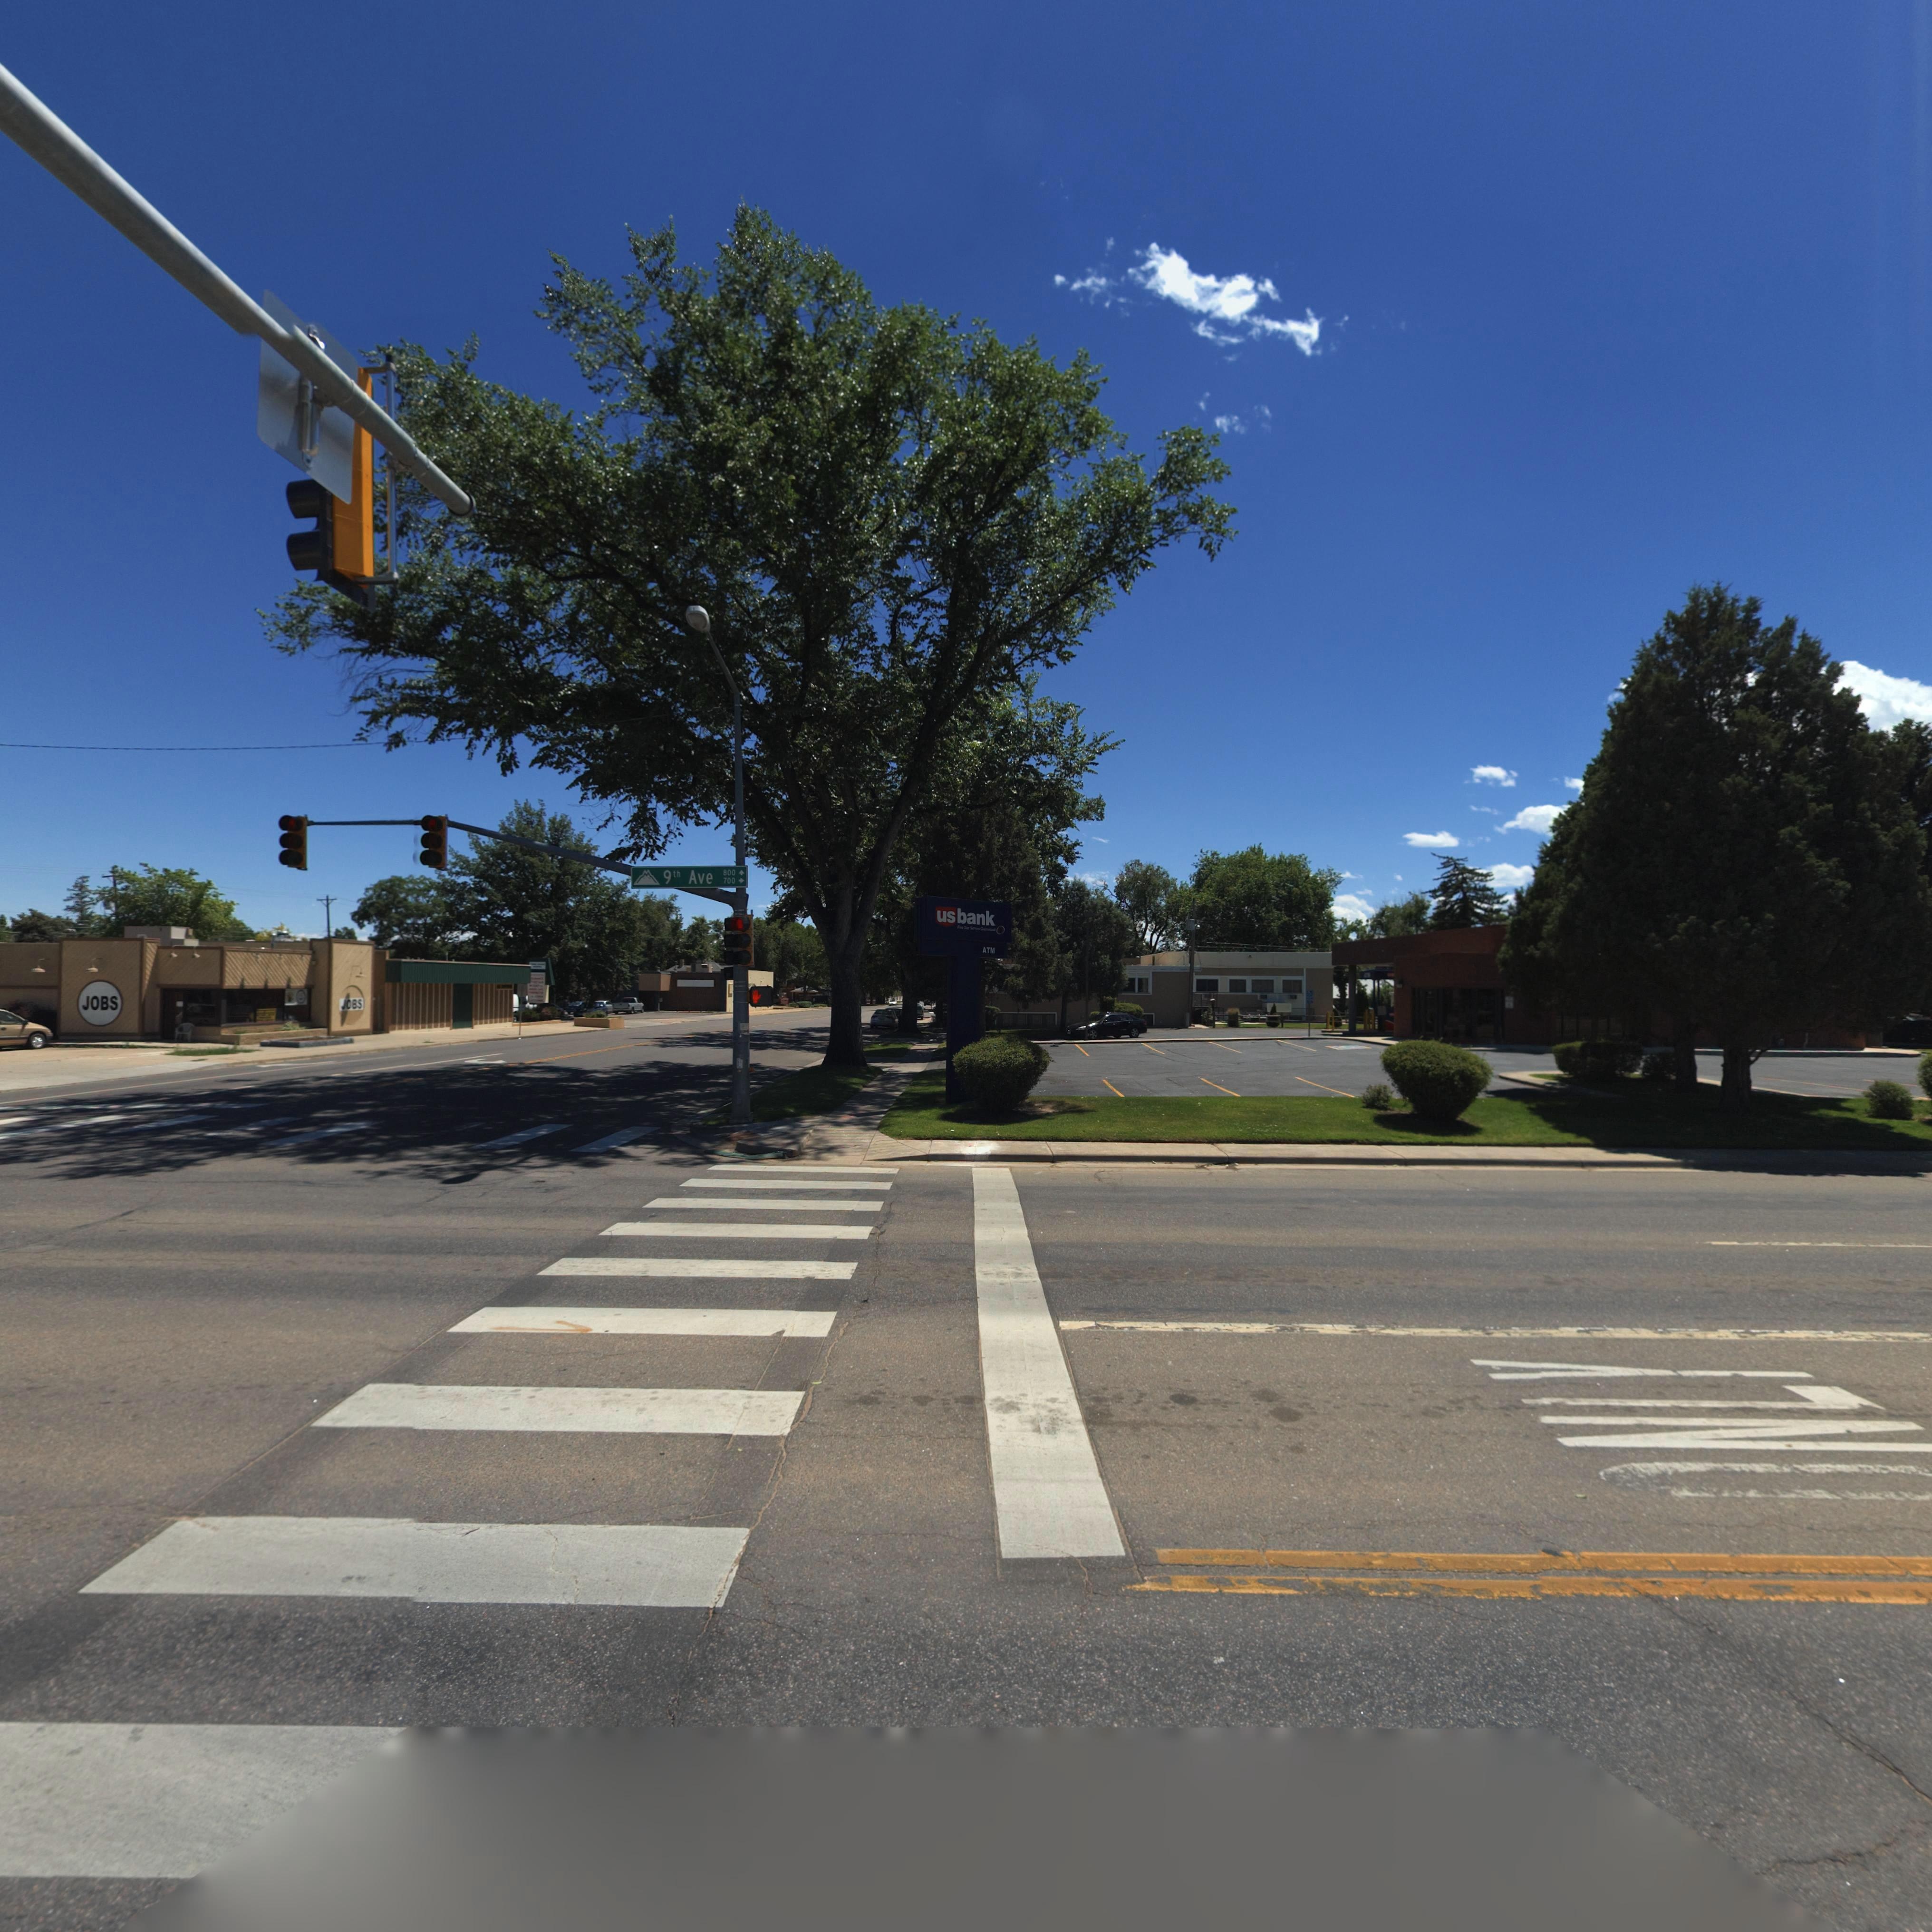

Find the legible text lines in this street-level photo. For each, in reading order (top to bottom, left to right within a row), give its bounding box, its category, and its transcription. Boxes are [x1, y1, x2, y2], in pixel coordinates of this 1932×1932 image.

[723, 869, 736, 876] StreetNumberRange: 800
[662, 869, 713, 885] StreetName: 9th Ave
[723, 877, 744, 884] StreetNumberRange: 700 ->
[936, 907, 996, 927] BusinessName: usbank
[1387, 973, 1392, 977] BusinessName: us